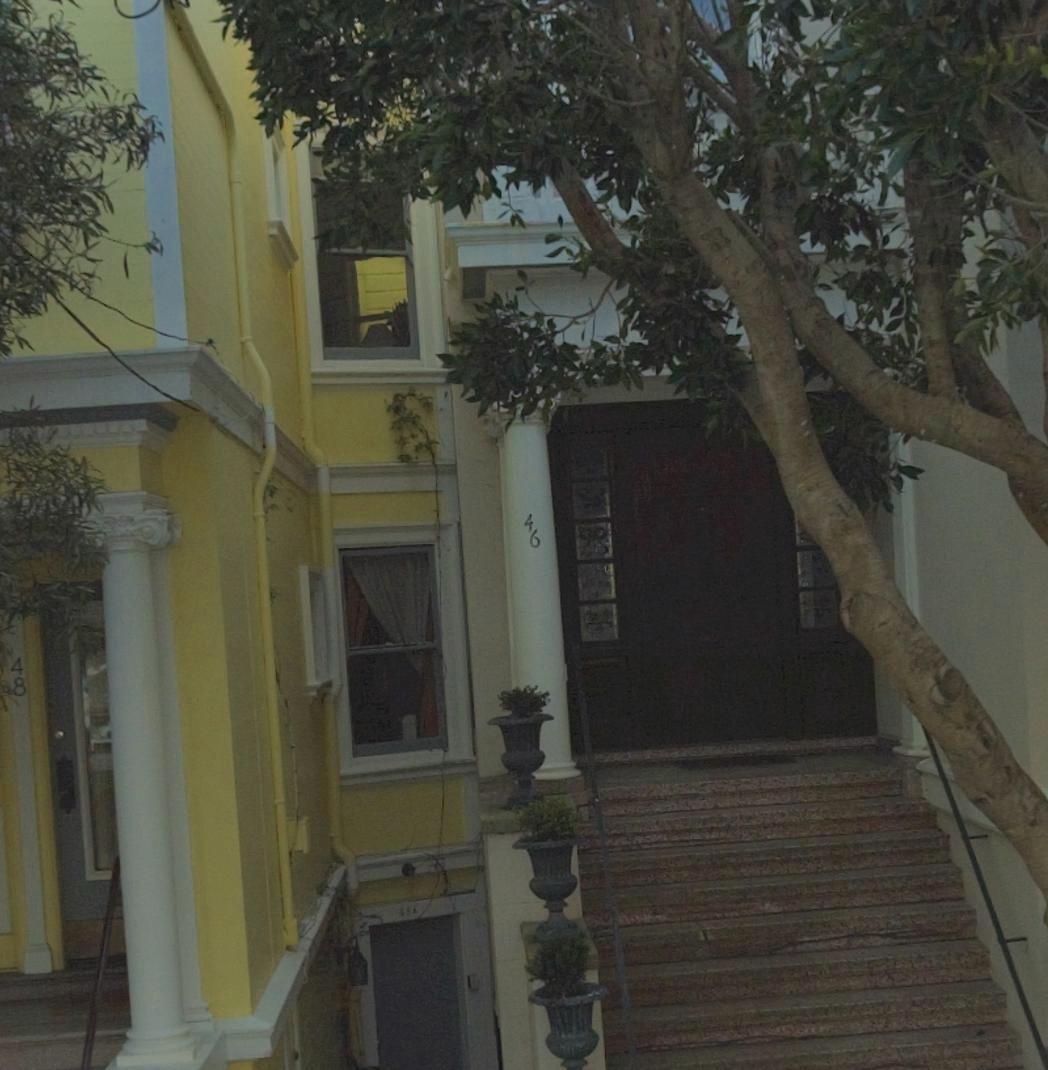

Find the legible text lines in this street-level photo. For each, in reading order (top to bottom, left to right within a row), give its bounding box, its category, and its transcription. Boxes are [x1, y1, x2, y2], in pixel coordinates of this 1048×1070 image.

[523, 513, 542, 549] StreetNumber: 46
[10, 655, 27, 698] StreetNumber: 48
[397, 904, 418, 919] StreetNumber: 48*